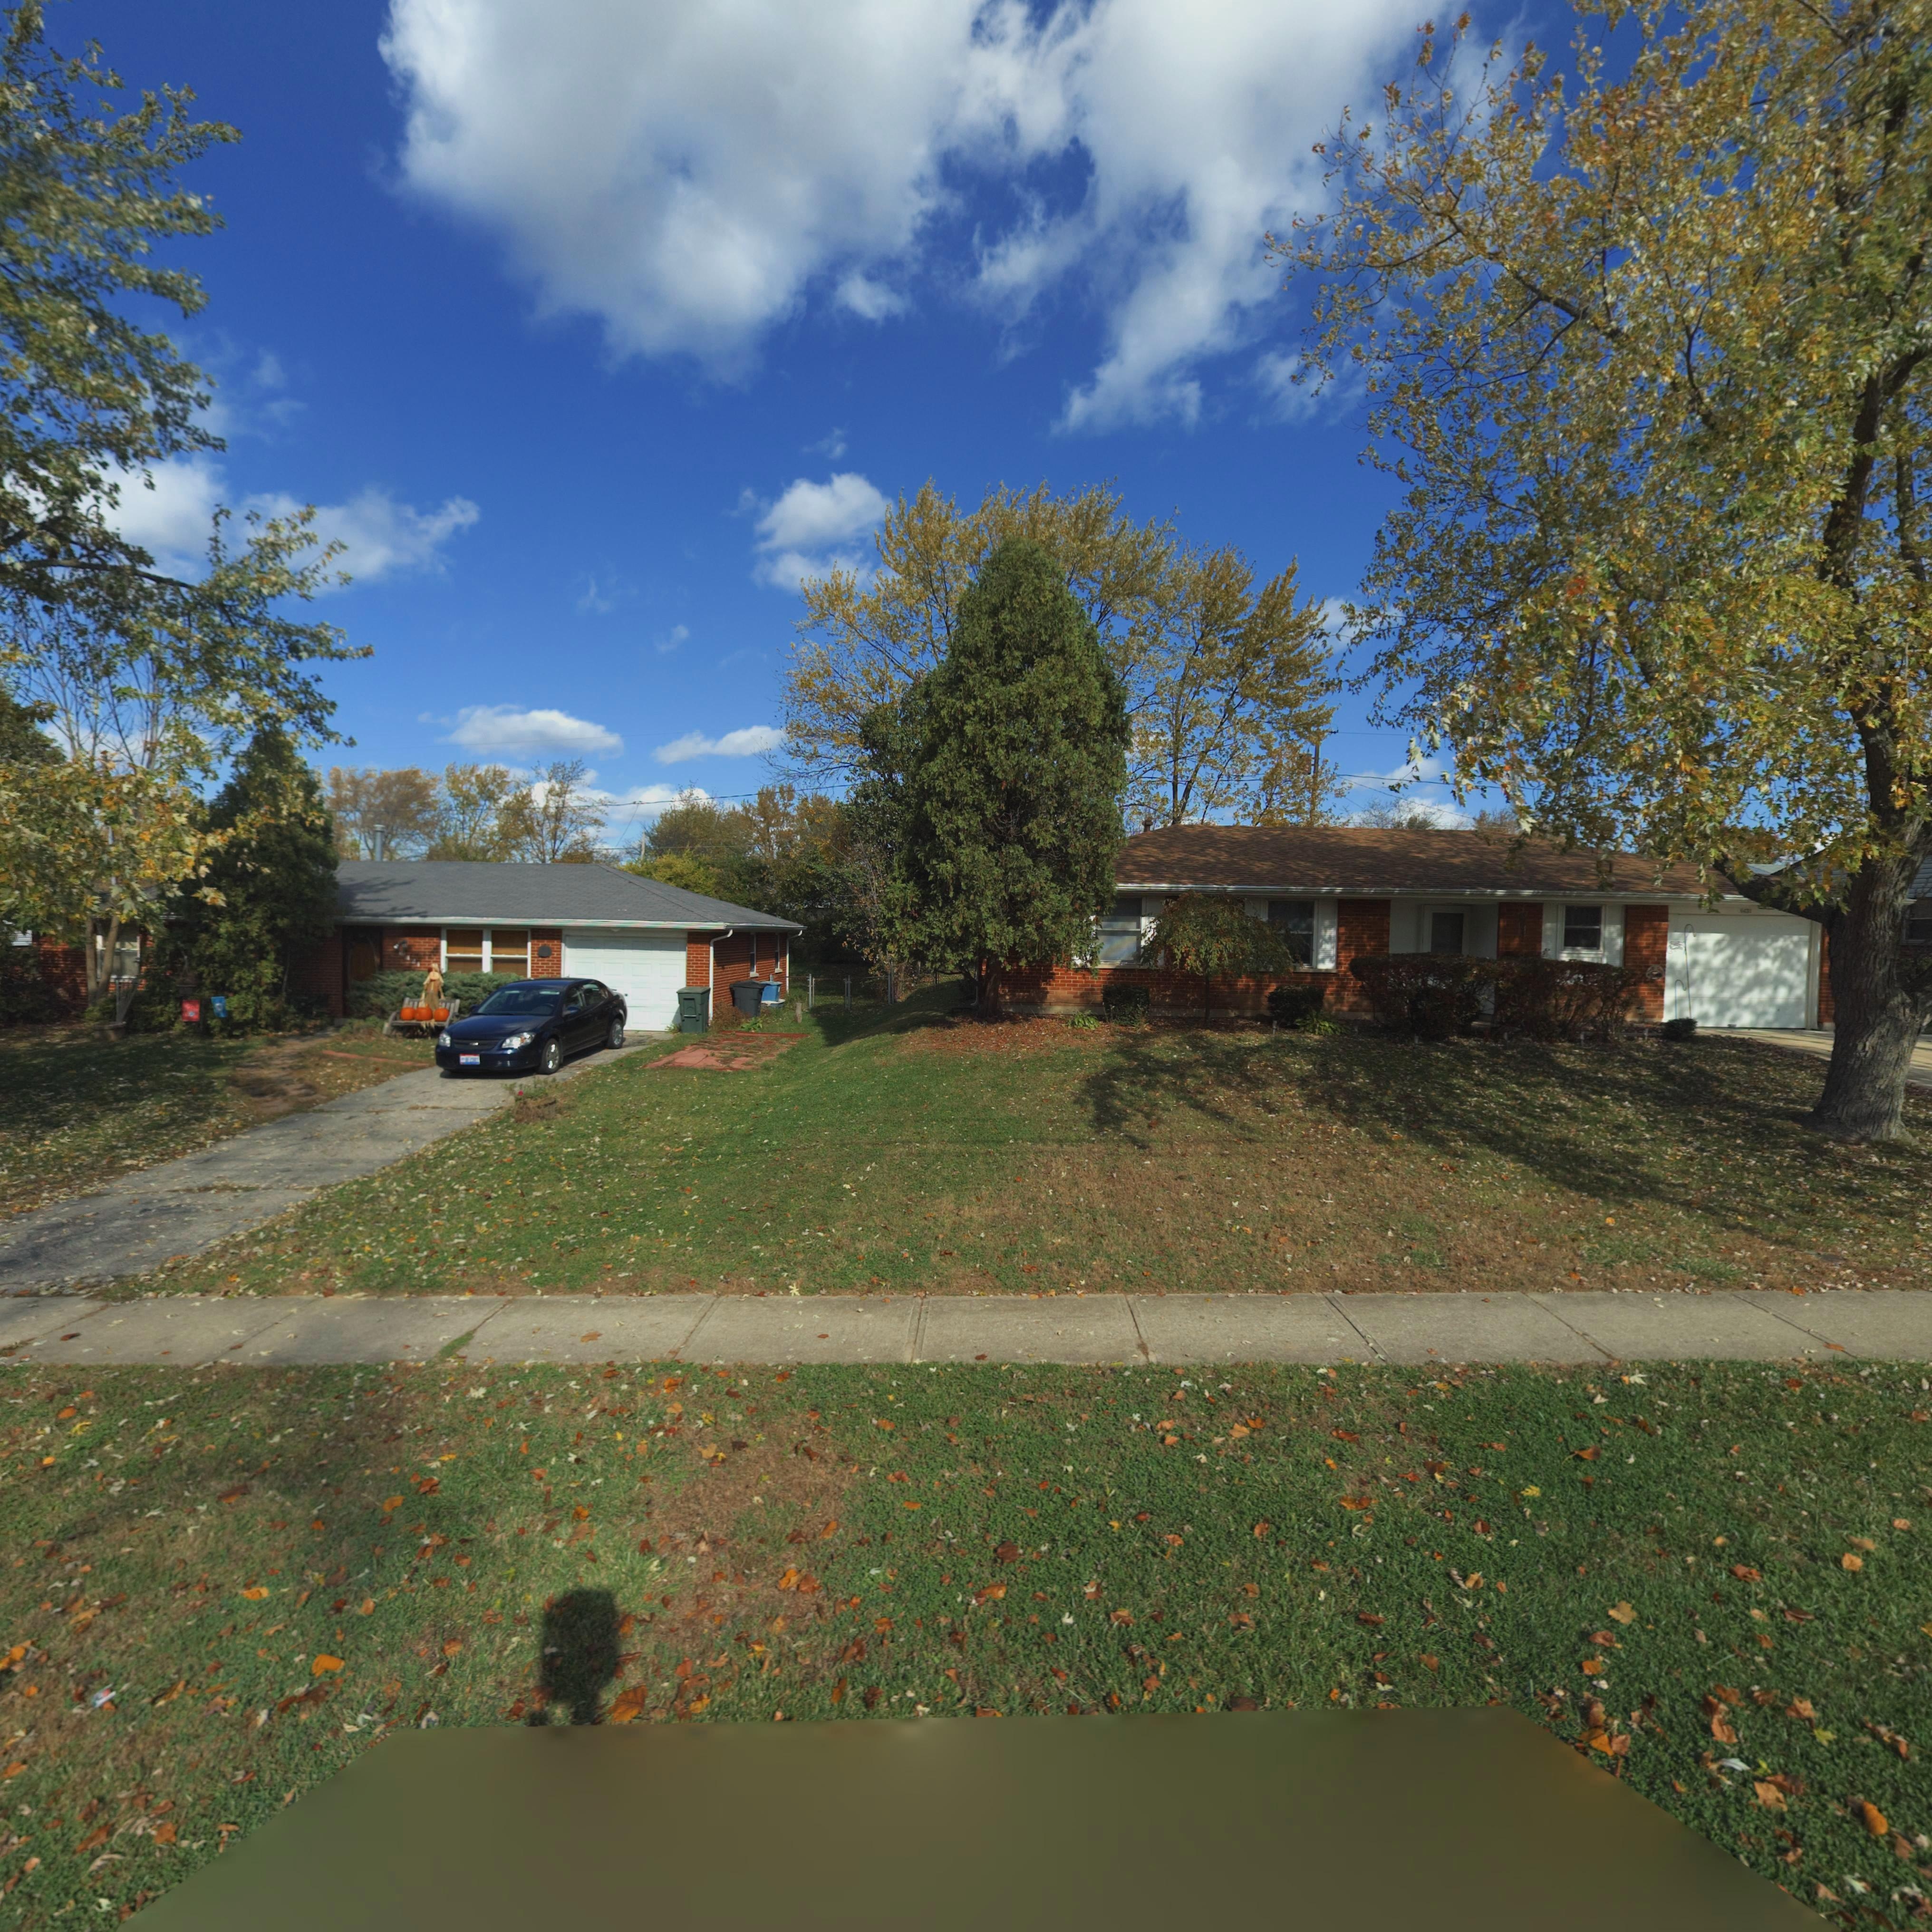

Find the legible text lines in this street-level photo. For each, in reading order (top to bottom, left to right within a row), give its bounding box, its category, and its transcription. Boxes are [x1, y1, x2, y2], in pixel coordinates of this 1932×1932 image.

[1739, 908, 1752, 914] StreetNumber: 6431
[410, 957, 421, 967] StreetNumber: 21